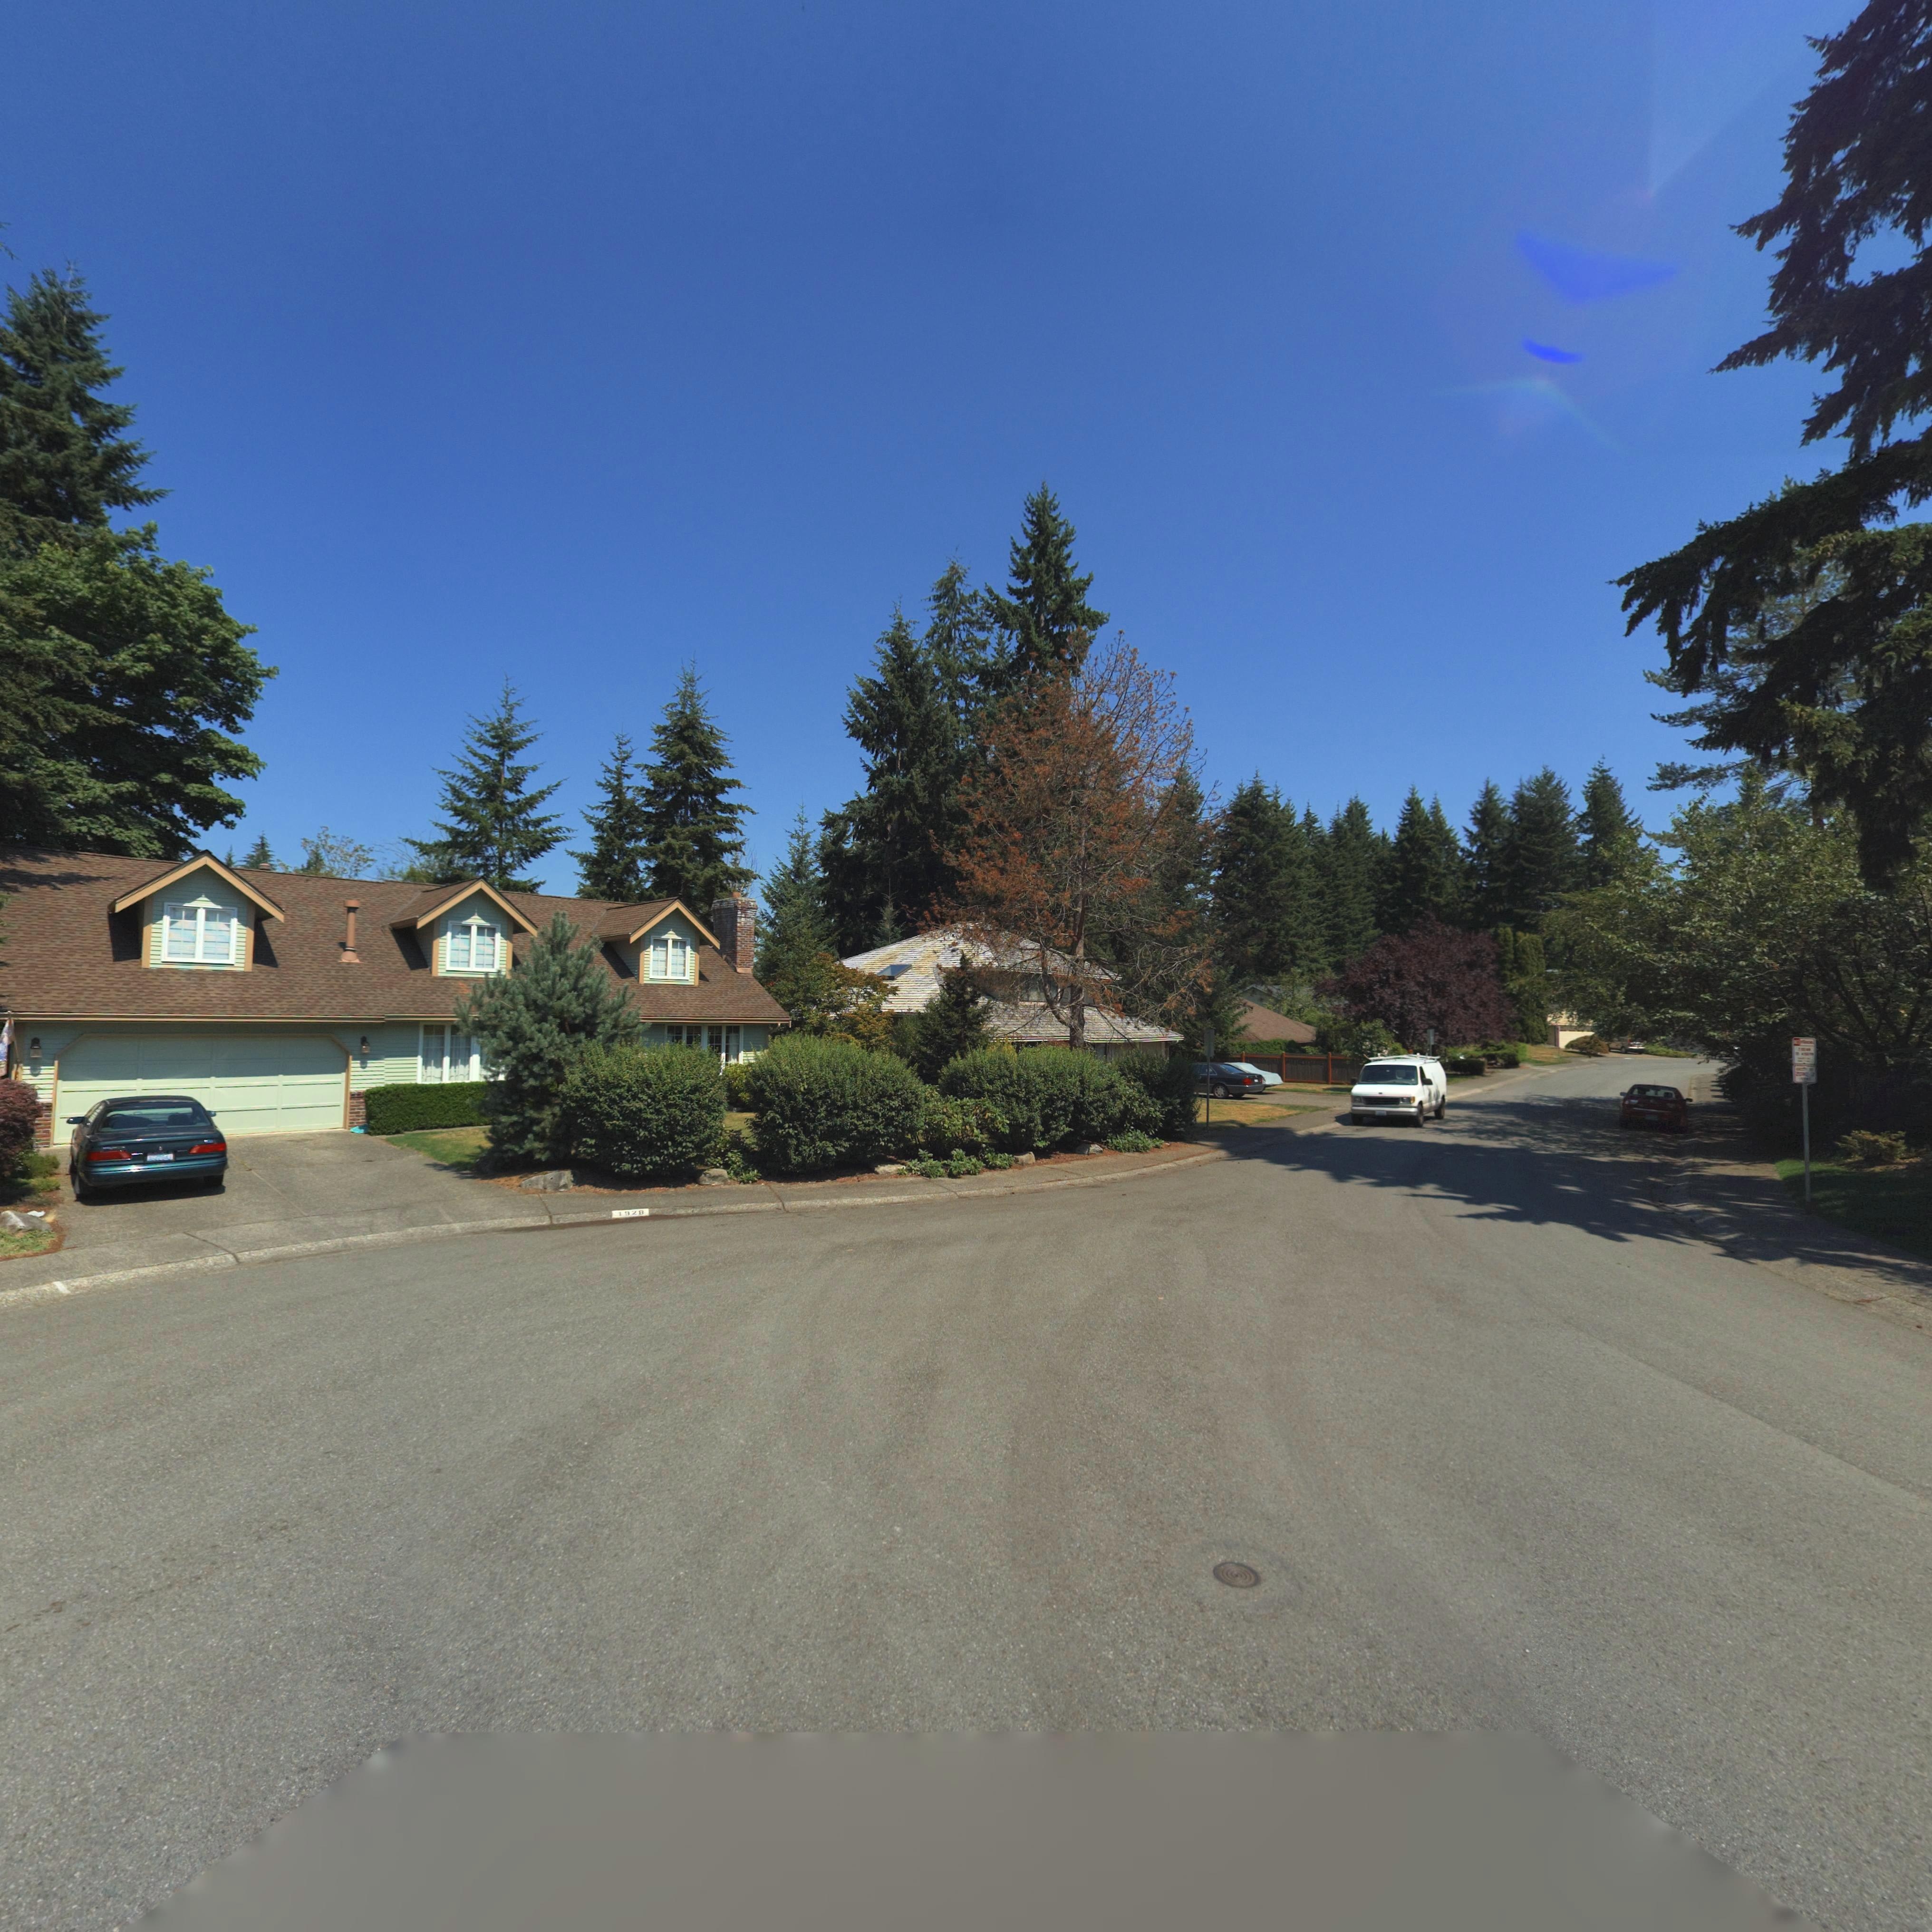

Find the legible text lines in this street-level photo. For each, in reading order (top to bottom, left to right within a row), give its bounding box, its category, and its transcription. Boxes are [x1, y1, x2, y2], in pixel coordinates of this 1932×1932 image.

[618, 1209, 645, 1216] StreetNumber: 1928